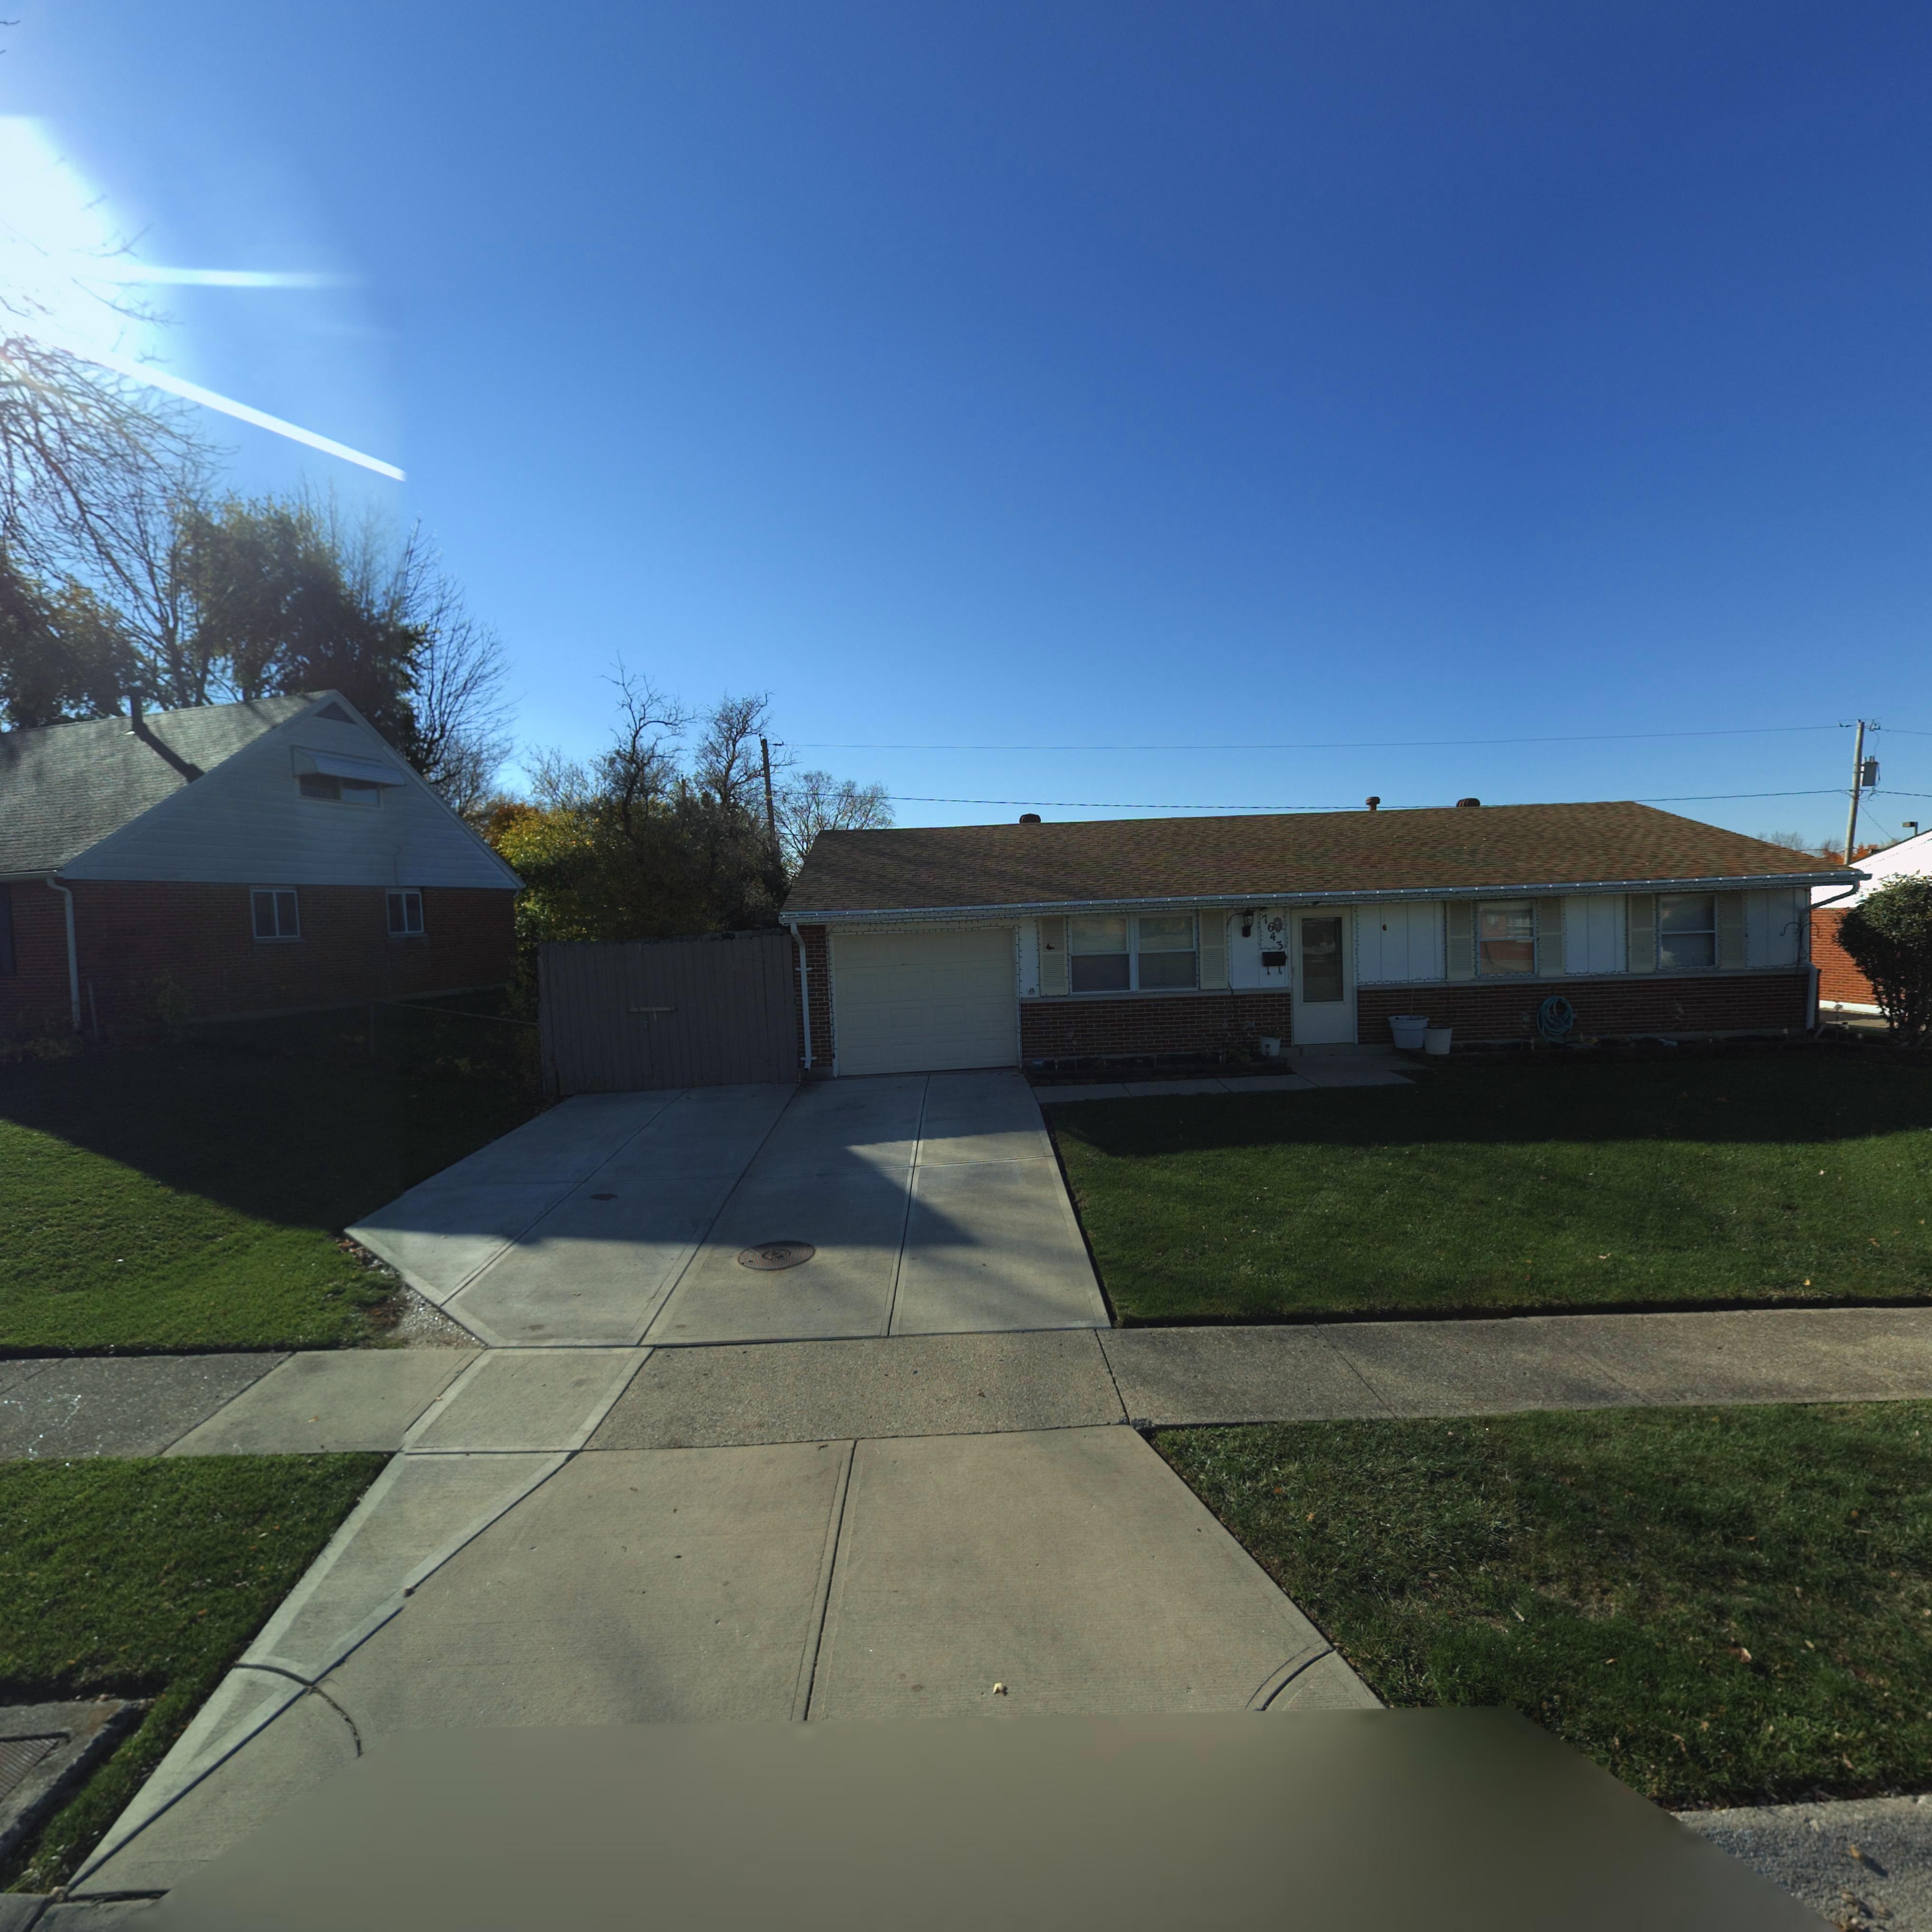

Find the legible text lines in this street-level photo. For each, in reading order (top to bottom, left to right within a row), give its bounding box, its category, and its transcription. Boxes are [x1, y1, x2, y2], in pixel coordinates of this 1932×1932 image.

[1261, 912, 1285, 951] StreetNumber: 7643